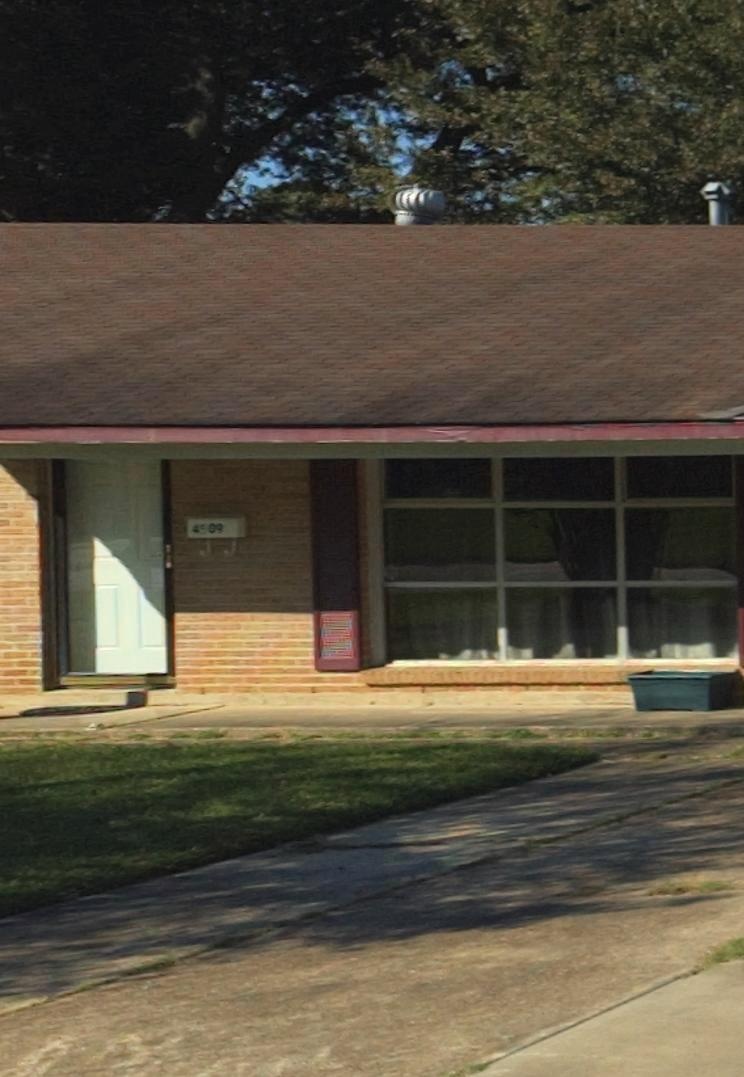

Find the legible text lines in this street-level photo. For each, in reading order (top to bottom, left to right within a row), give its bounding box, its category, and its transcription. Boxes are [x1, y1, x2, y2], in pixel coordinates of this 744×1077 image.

[191, 523, 223, 535] StreetNumber: 4509